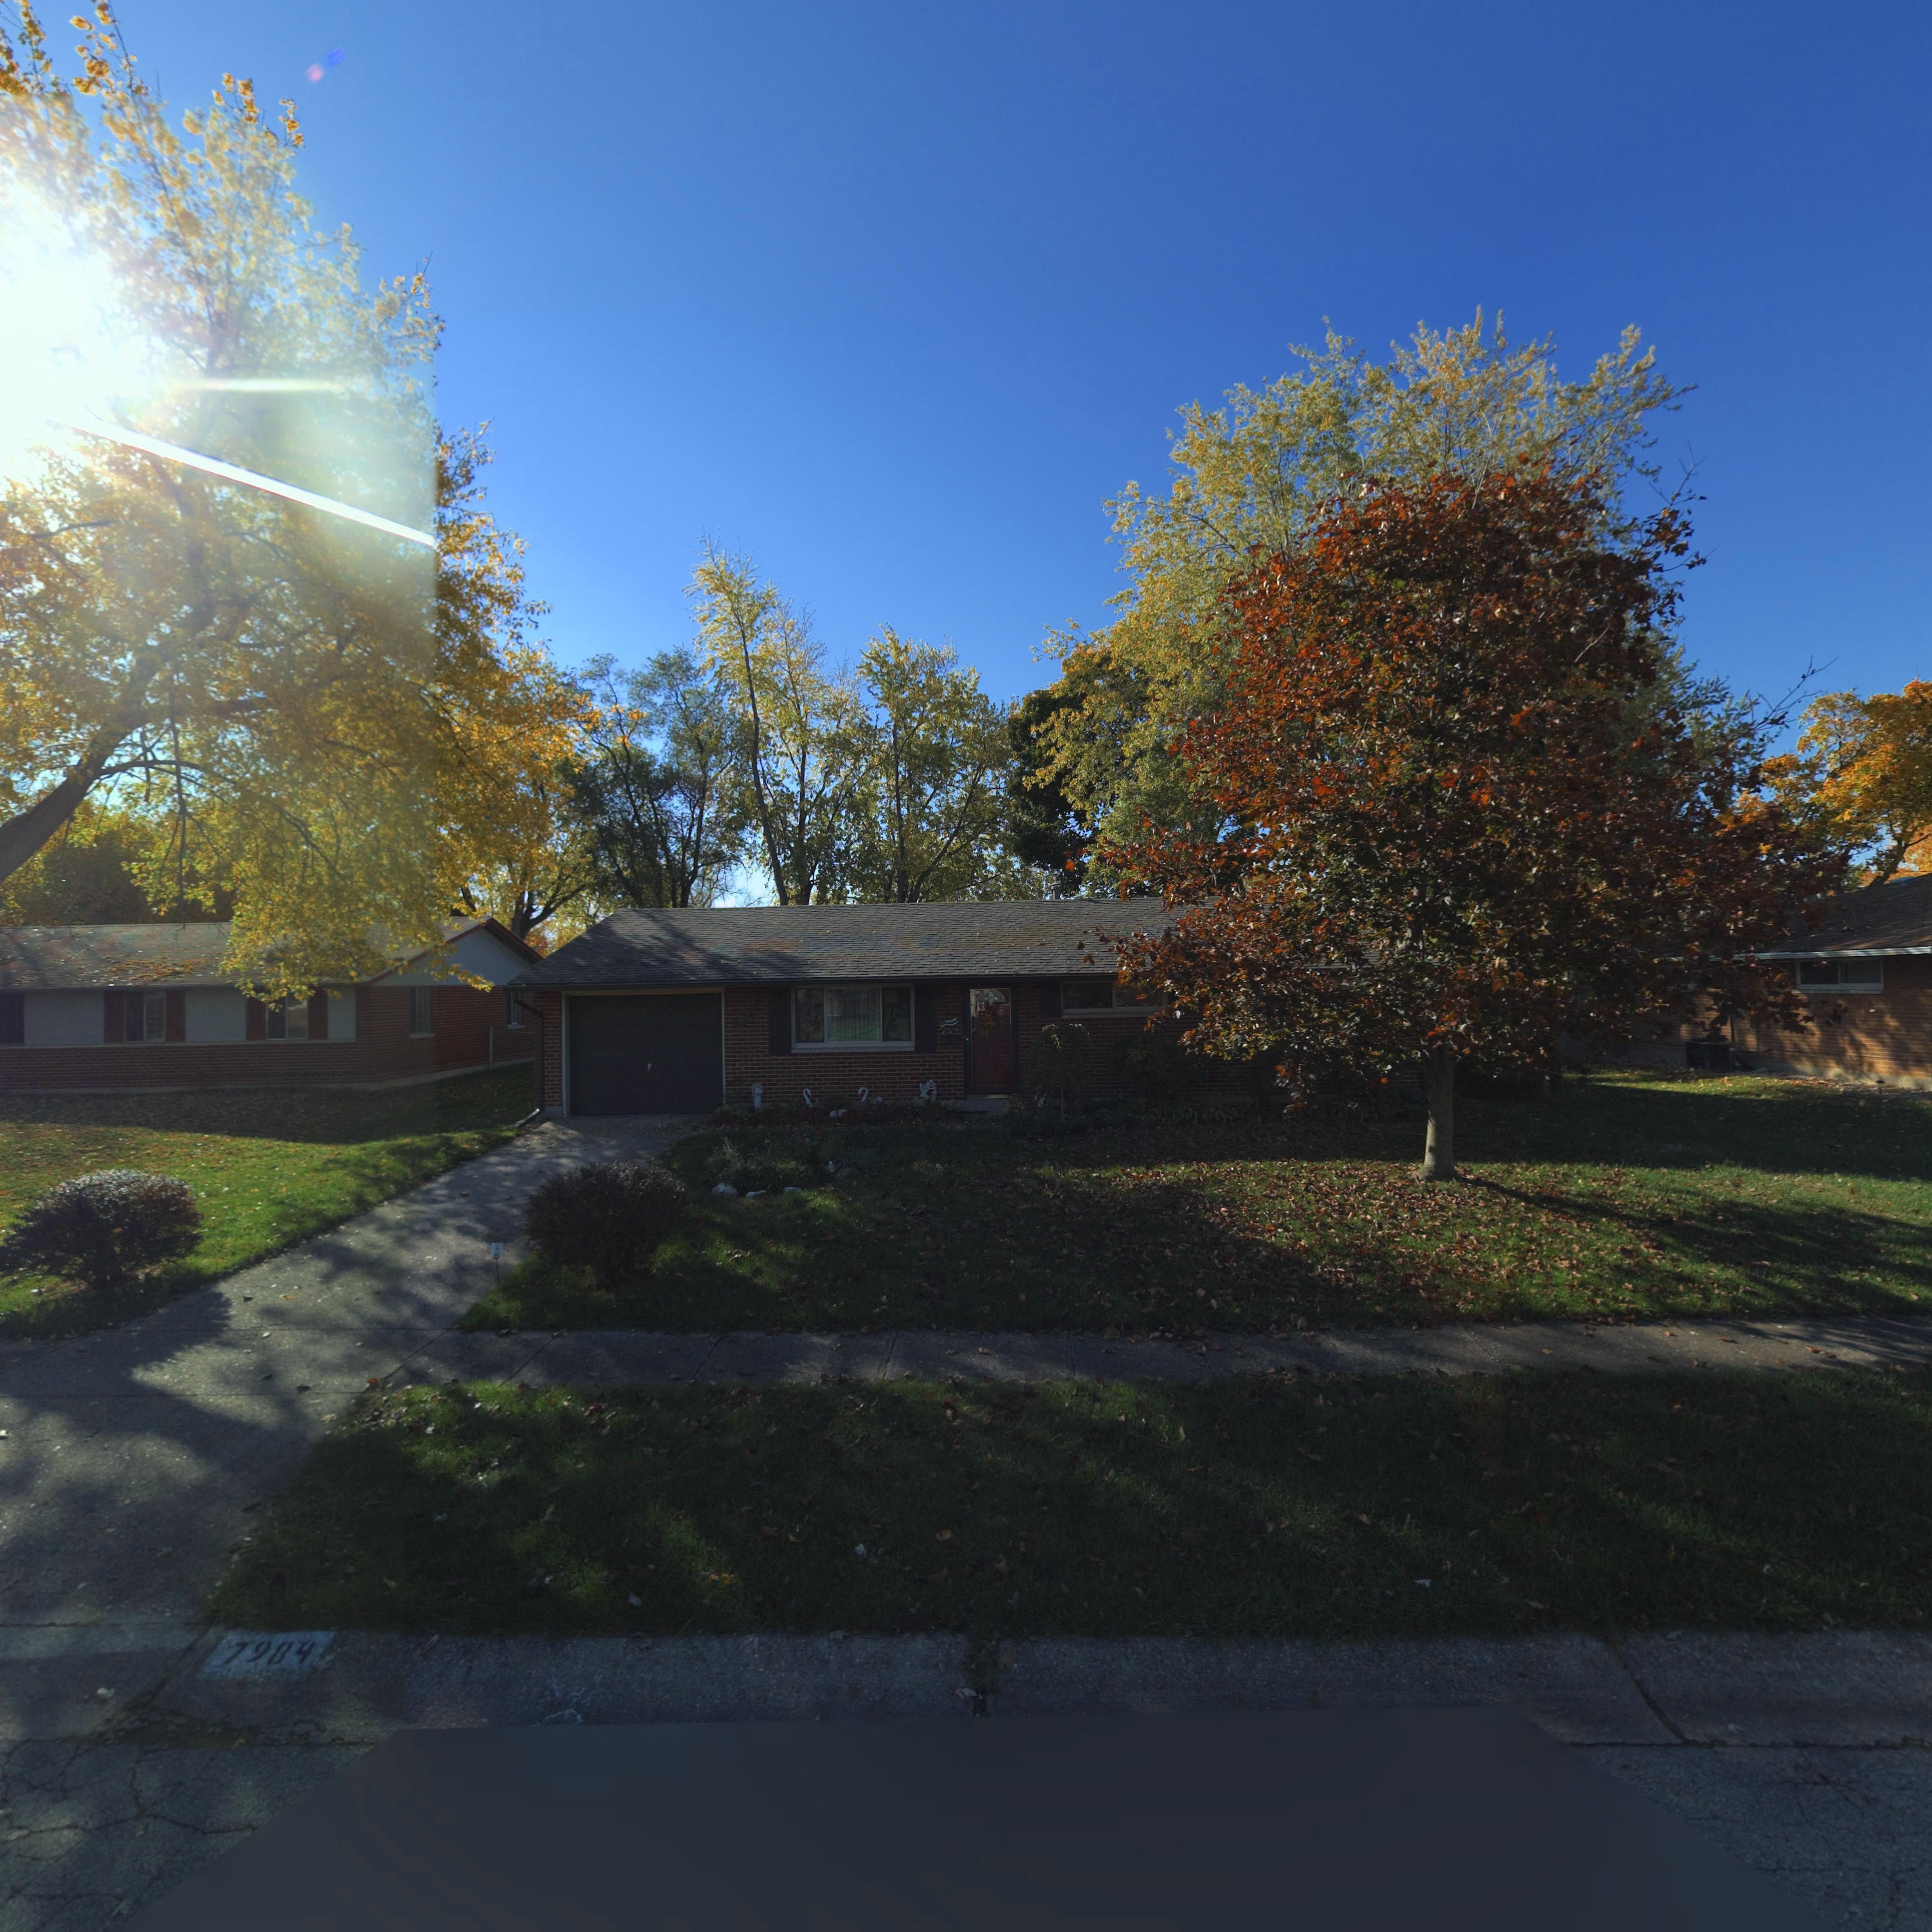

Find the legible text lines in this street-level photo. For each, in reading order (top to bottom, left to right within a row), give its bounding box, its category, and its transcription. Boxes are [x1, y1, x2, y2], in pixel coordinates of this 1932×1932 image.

[732, 1014, 755, 1027] StreetNumber: *9**
[218, 1639, 318, 1666] StreetNumber: 7984